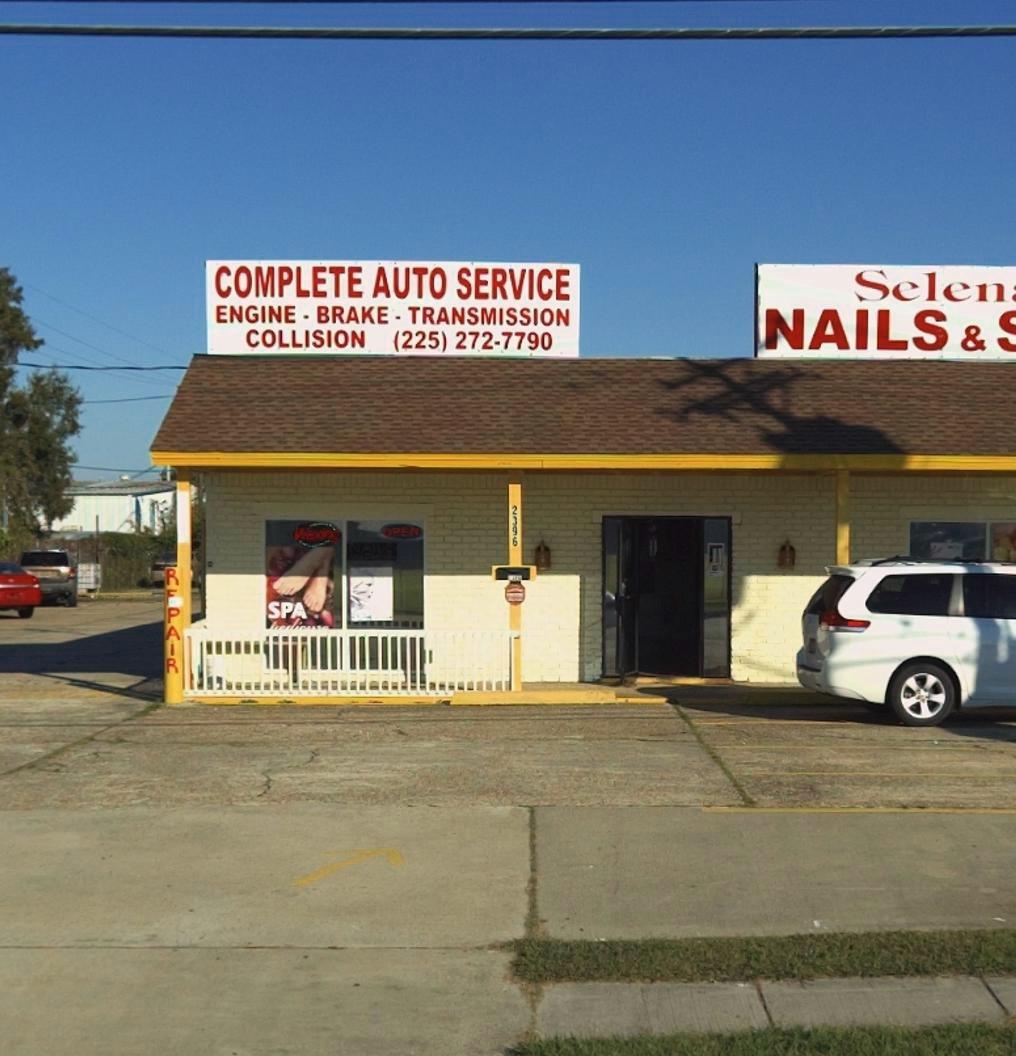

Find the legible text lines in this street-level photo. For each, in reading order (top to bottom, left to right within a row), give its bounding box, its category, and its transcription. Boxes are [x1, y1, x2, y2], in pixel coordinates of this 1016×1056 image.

[213, 263, 571, 302] None: COMPLETE AUTO SERVICE
[852, 267, 1011, 303] BusinessName: Selen
[215, 303, 572, 328] None: ENGINE * BRAKE * TRANSMISSION
[244, 327, 554, 351] None: COLLISION (225) 272-7790
[763, 306, 950, 352] None: NAILS
[292, 524, 341, 545] None: Waxing
[380, 525, 421, 539] None: OPEN
[510, 503, 519, 549] StreetNumber: 2396
[164, 567, 181, 676] None: R*PAIR
[265, 600, 311, 620] None: SPA